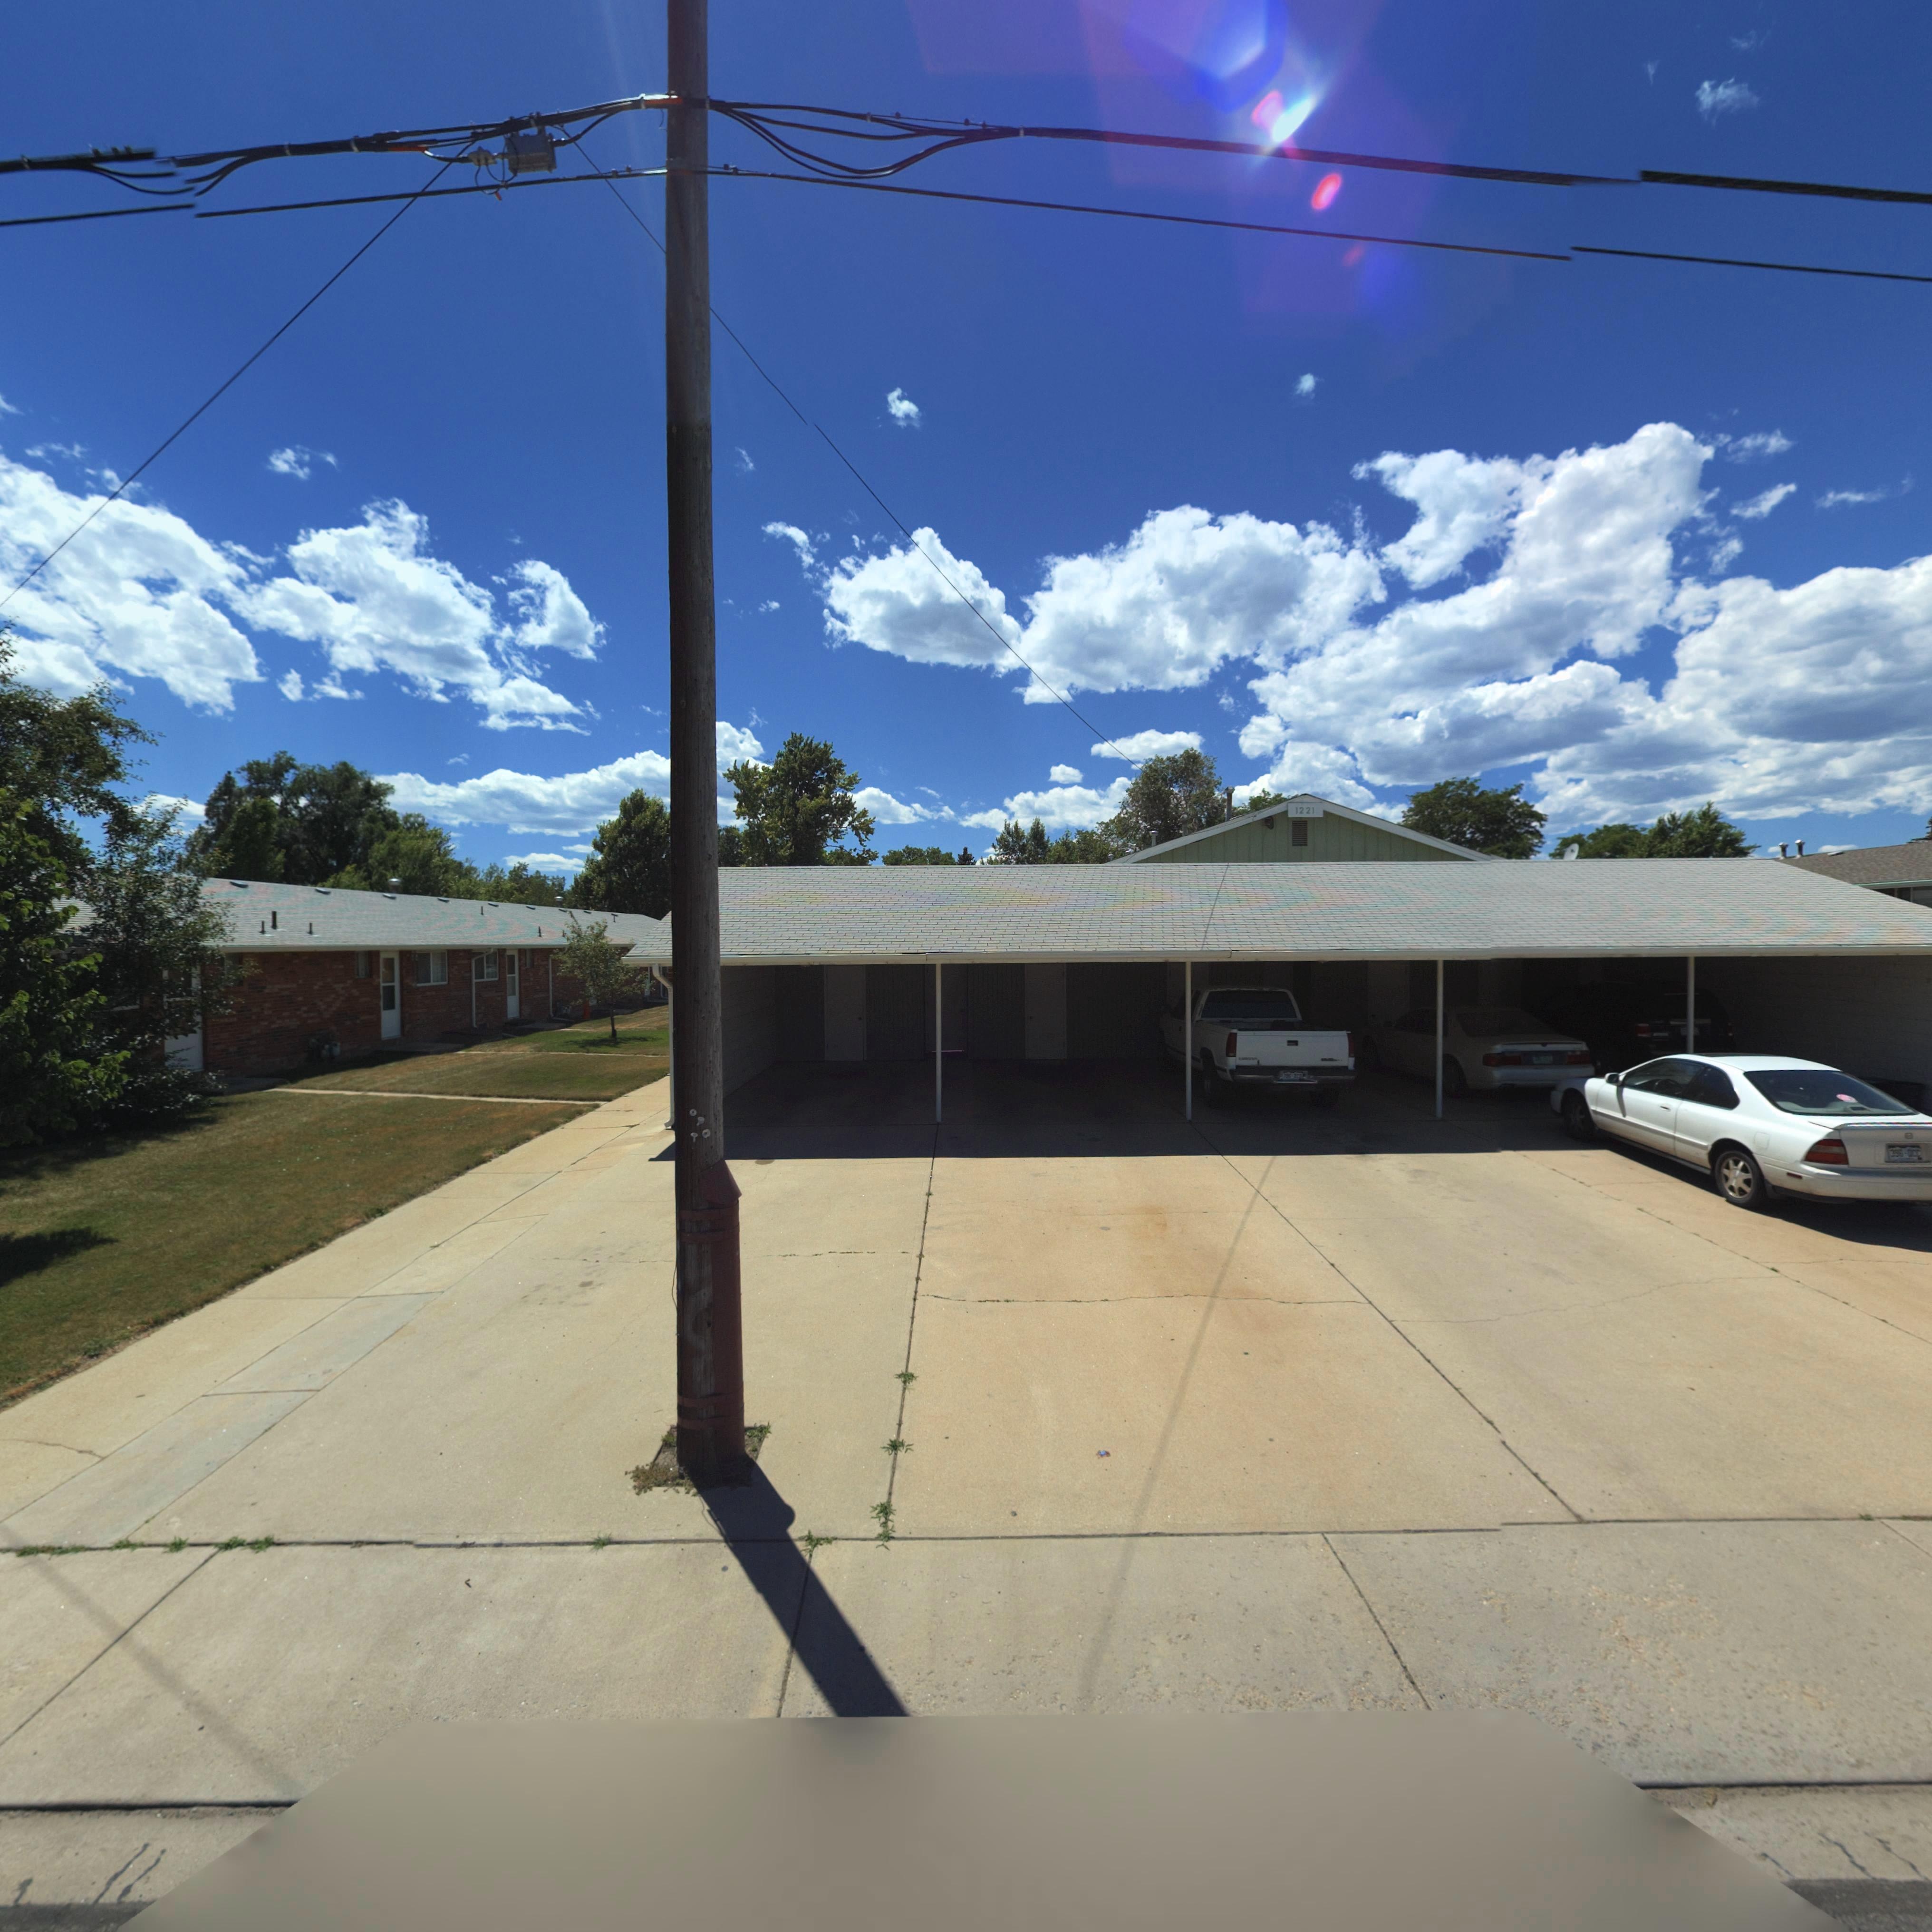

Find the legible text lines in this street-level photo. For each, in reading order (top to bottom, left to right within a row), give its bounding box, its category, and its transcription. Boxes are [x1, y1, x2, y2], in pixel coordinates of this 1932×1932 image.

[1295, 807, 1314, 813] StreetNumber: 1221